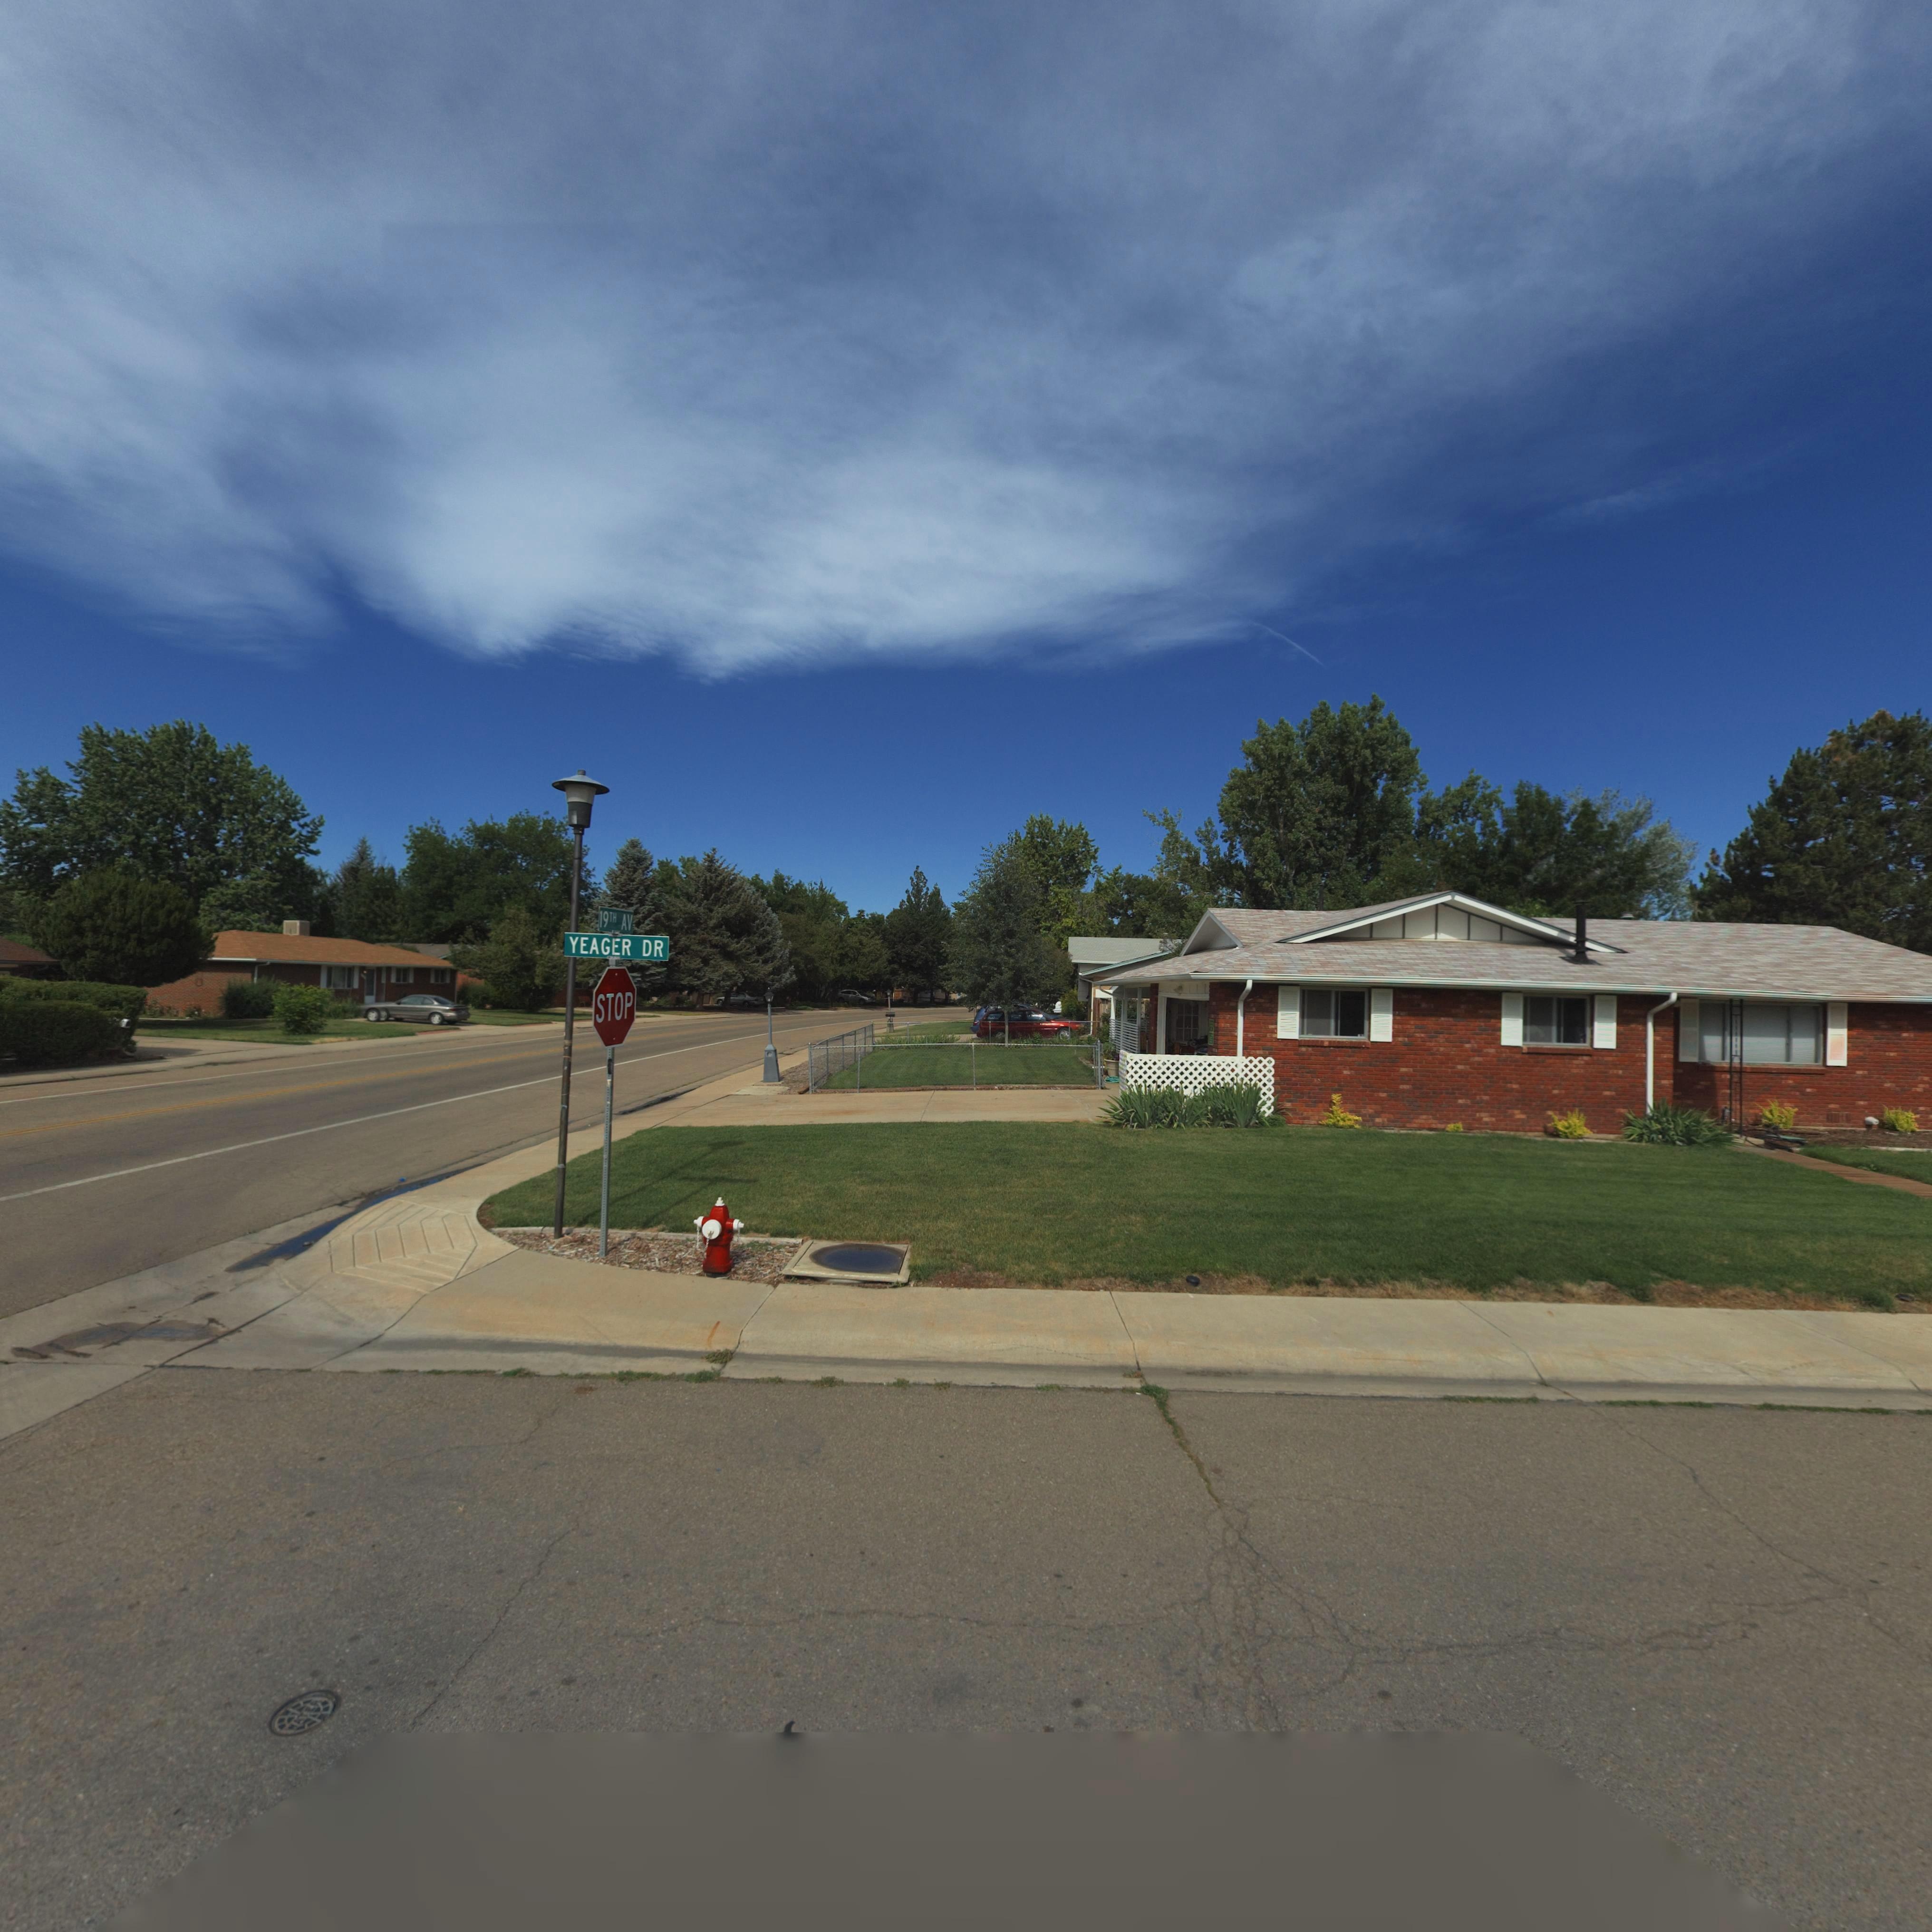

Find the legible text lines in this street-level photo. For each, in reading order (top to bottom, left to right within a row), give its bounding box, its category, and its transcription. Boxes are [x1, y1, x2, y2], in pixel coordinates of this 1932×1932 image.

[599, 909, 633, 931] StreetName: 19TH AV
[568, 935, 664, 957] StreetName: YEAGER DR